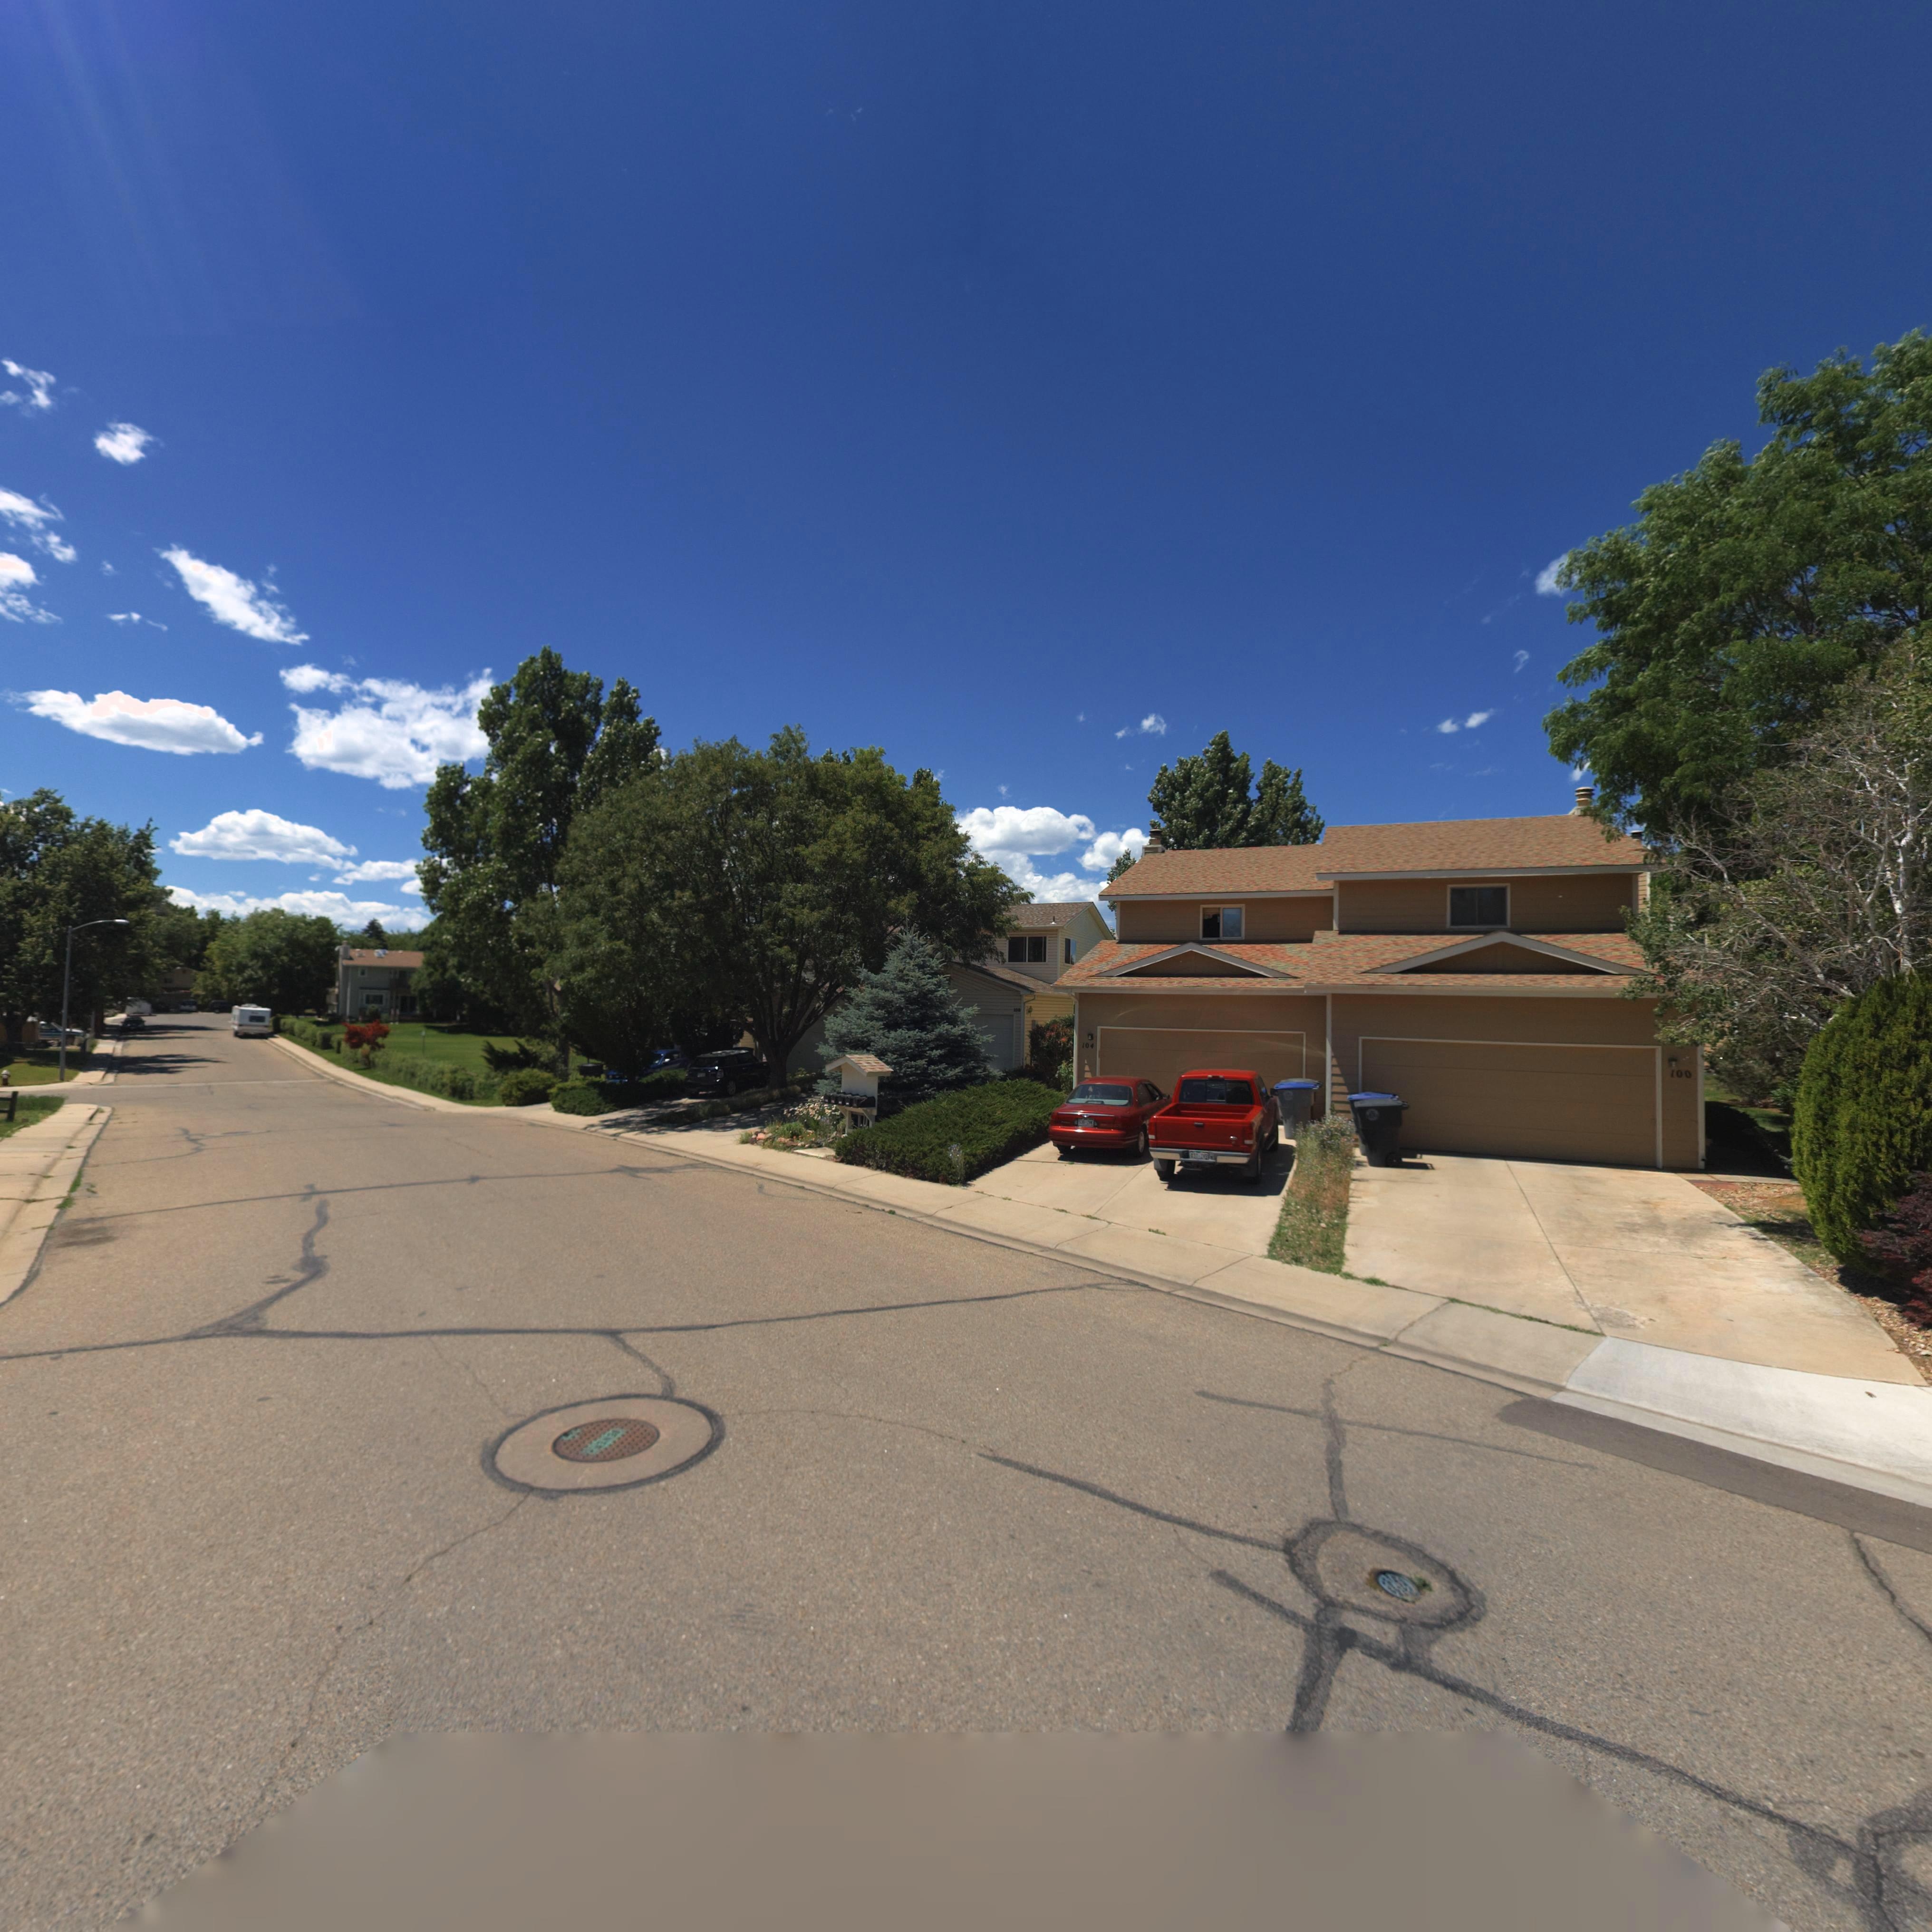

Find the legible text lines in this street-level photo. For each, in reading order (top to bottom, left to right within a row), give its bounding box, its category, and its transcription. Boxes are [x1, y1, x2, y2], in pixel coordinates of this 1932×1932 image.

[1013, 1007, 1020, 1012] StreetNumber: 10*
[1082, 1043, 1094, 1049] StreetNumber: 104
[1670, 1069, 1692, 1078] StreetNumber: 100